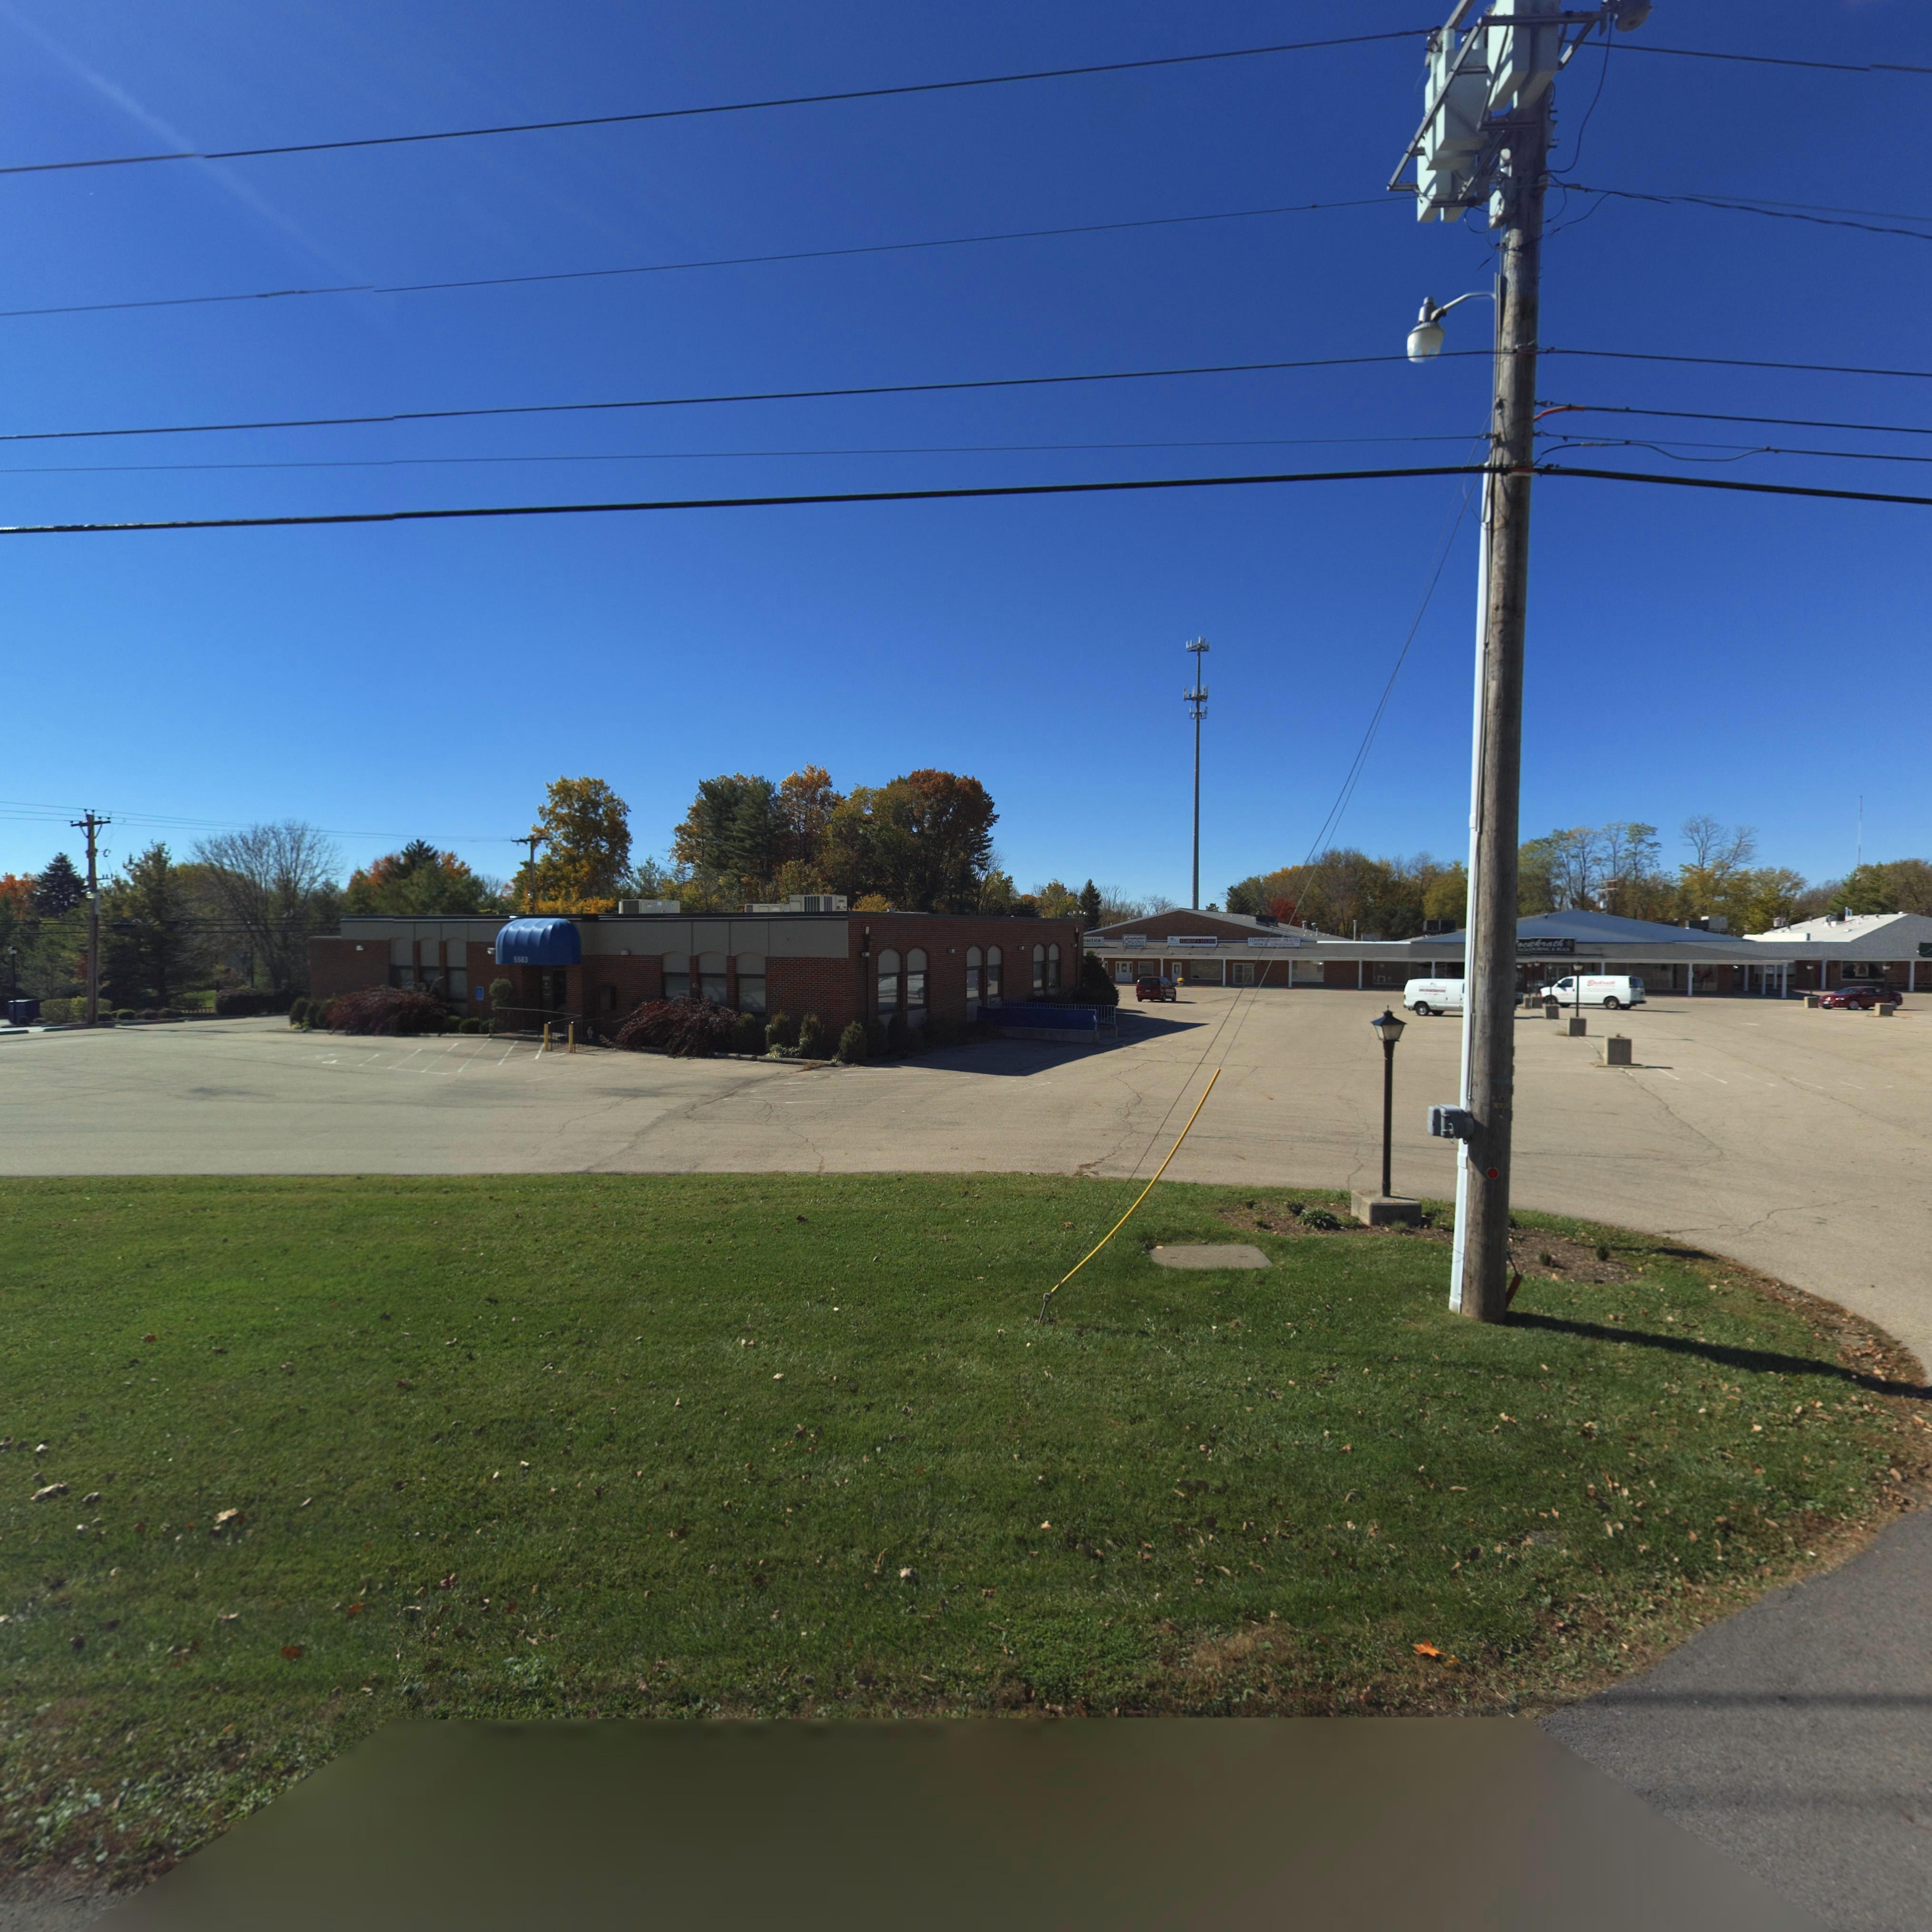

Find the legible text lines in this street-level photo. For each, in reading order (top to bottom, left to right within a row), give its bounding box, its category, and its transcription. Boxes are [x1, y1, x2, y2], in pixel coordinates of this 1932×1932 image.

[1083, 938, 1101, 943] BusinessName: ractico
[1515, 938, 1565, 948] BusinessName: *oc**rath
[1546, 946, 1571, 953] BusinessName: G & RUGS
[512, 955, 530, 964] StreetNumber: 5583